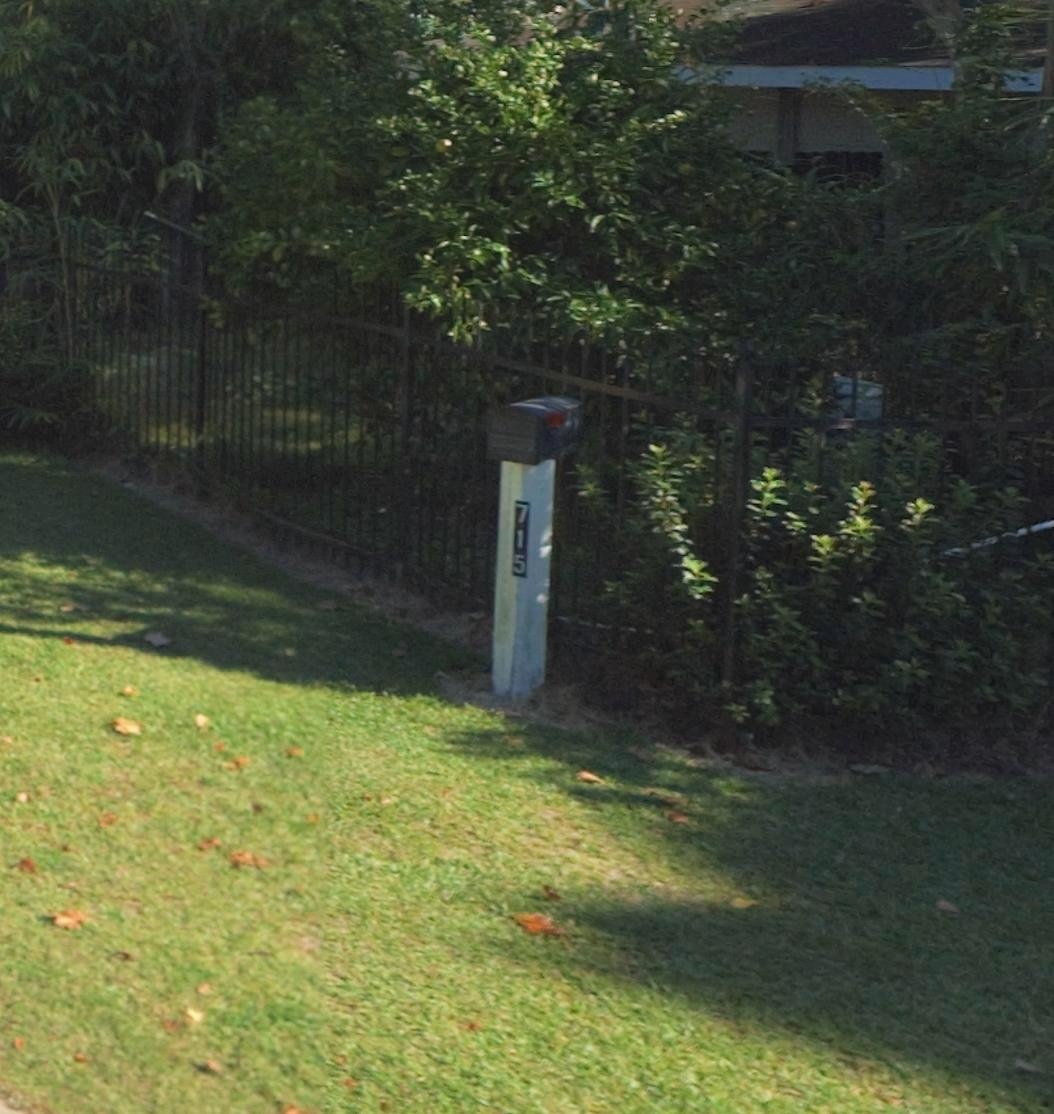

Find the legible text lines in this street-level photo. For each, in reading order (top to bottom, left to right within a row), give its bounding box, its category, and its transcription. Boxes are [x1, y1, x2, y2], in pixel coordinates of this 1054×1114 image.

[512, 502, 530, 579] StreetNumber: 715